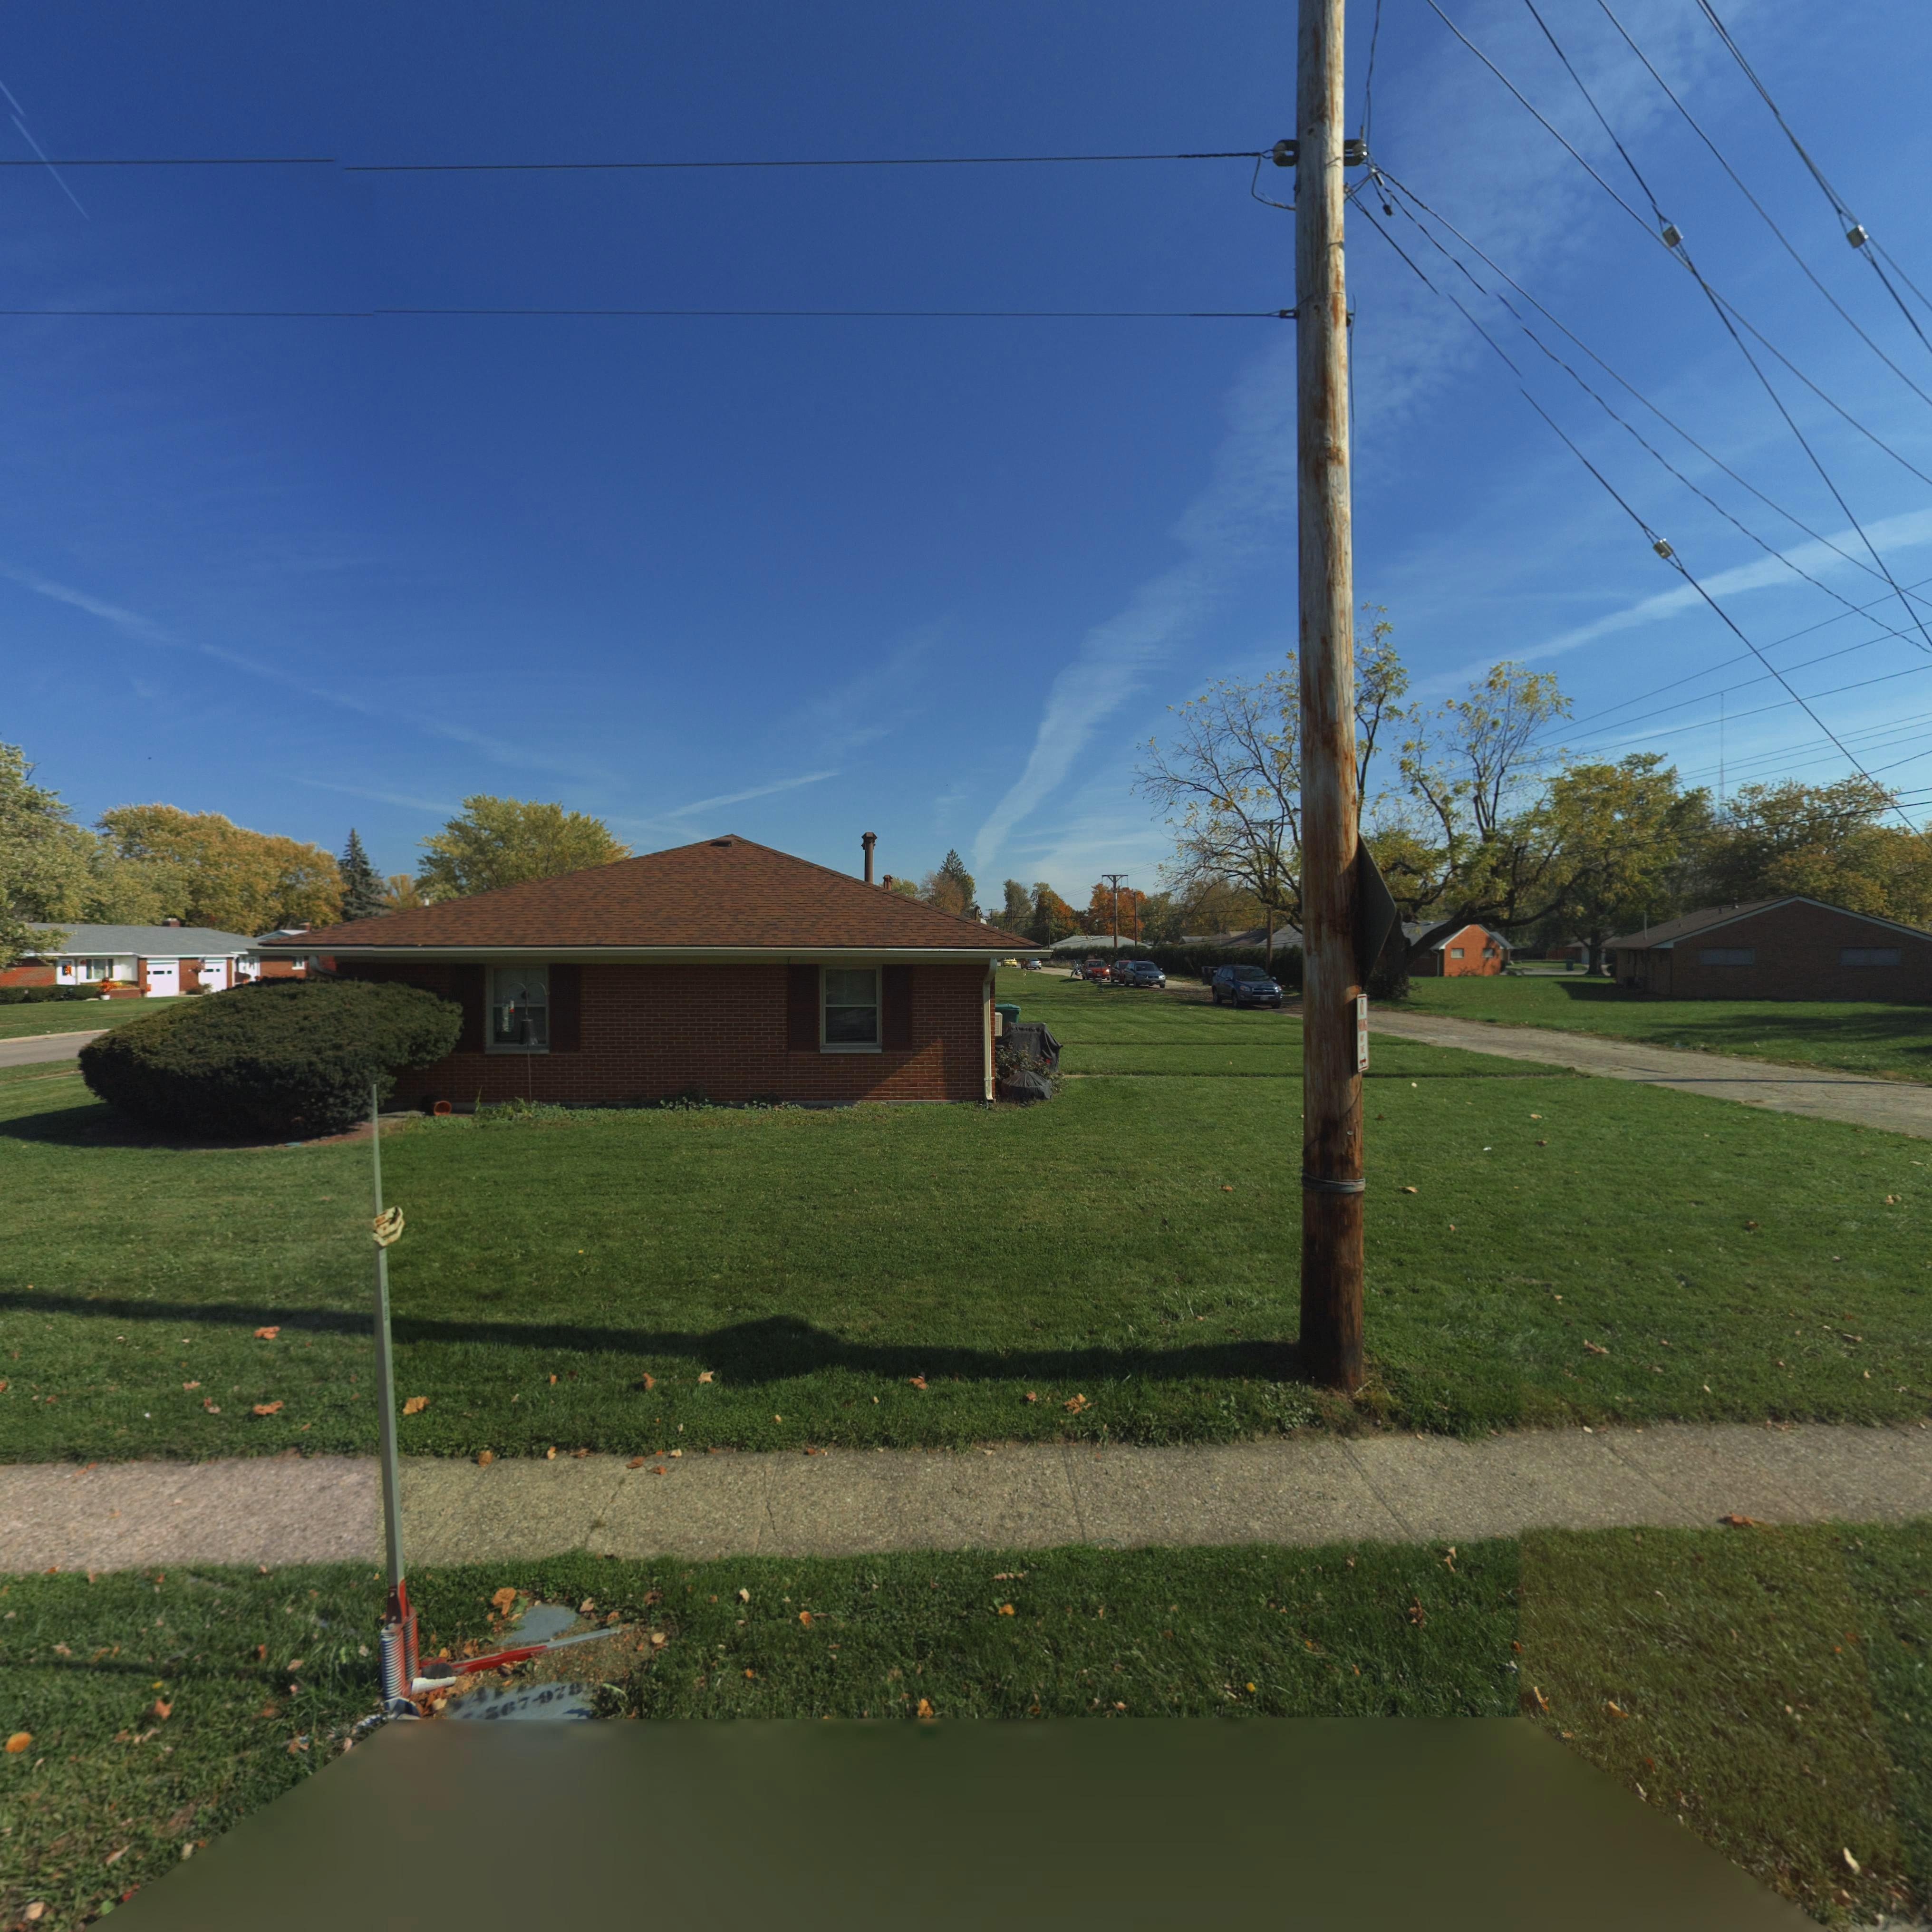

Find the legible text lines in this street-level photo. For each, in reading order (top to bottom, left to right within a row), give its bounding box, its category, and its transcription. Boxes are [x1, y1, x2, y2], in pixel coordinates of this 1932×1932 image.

[501, 1678, 584, 1718] None: 67-978